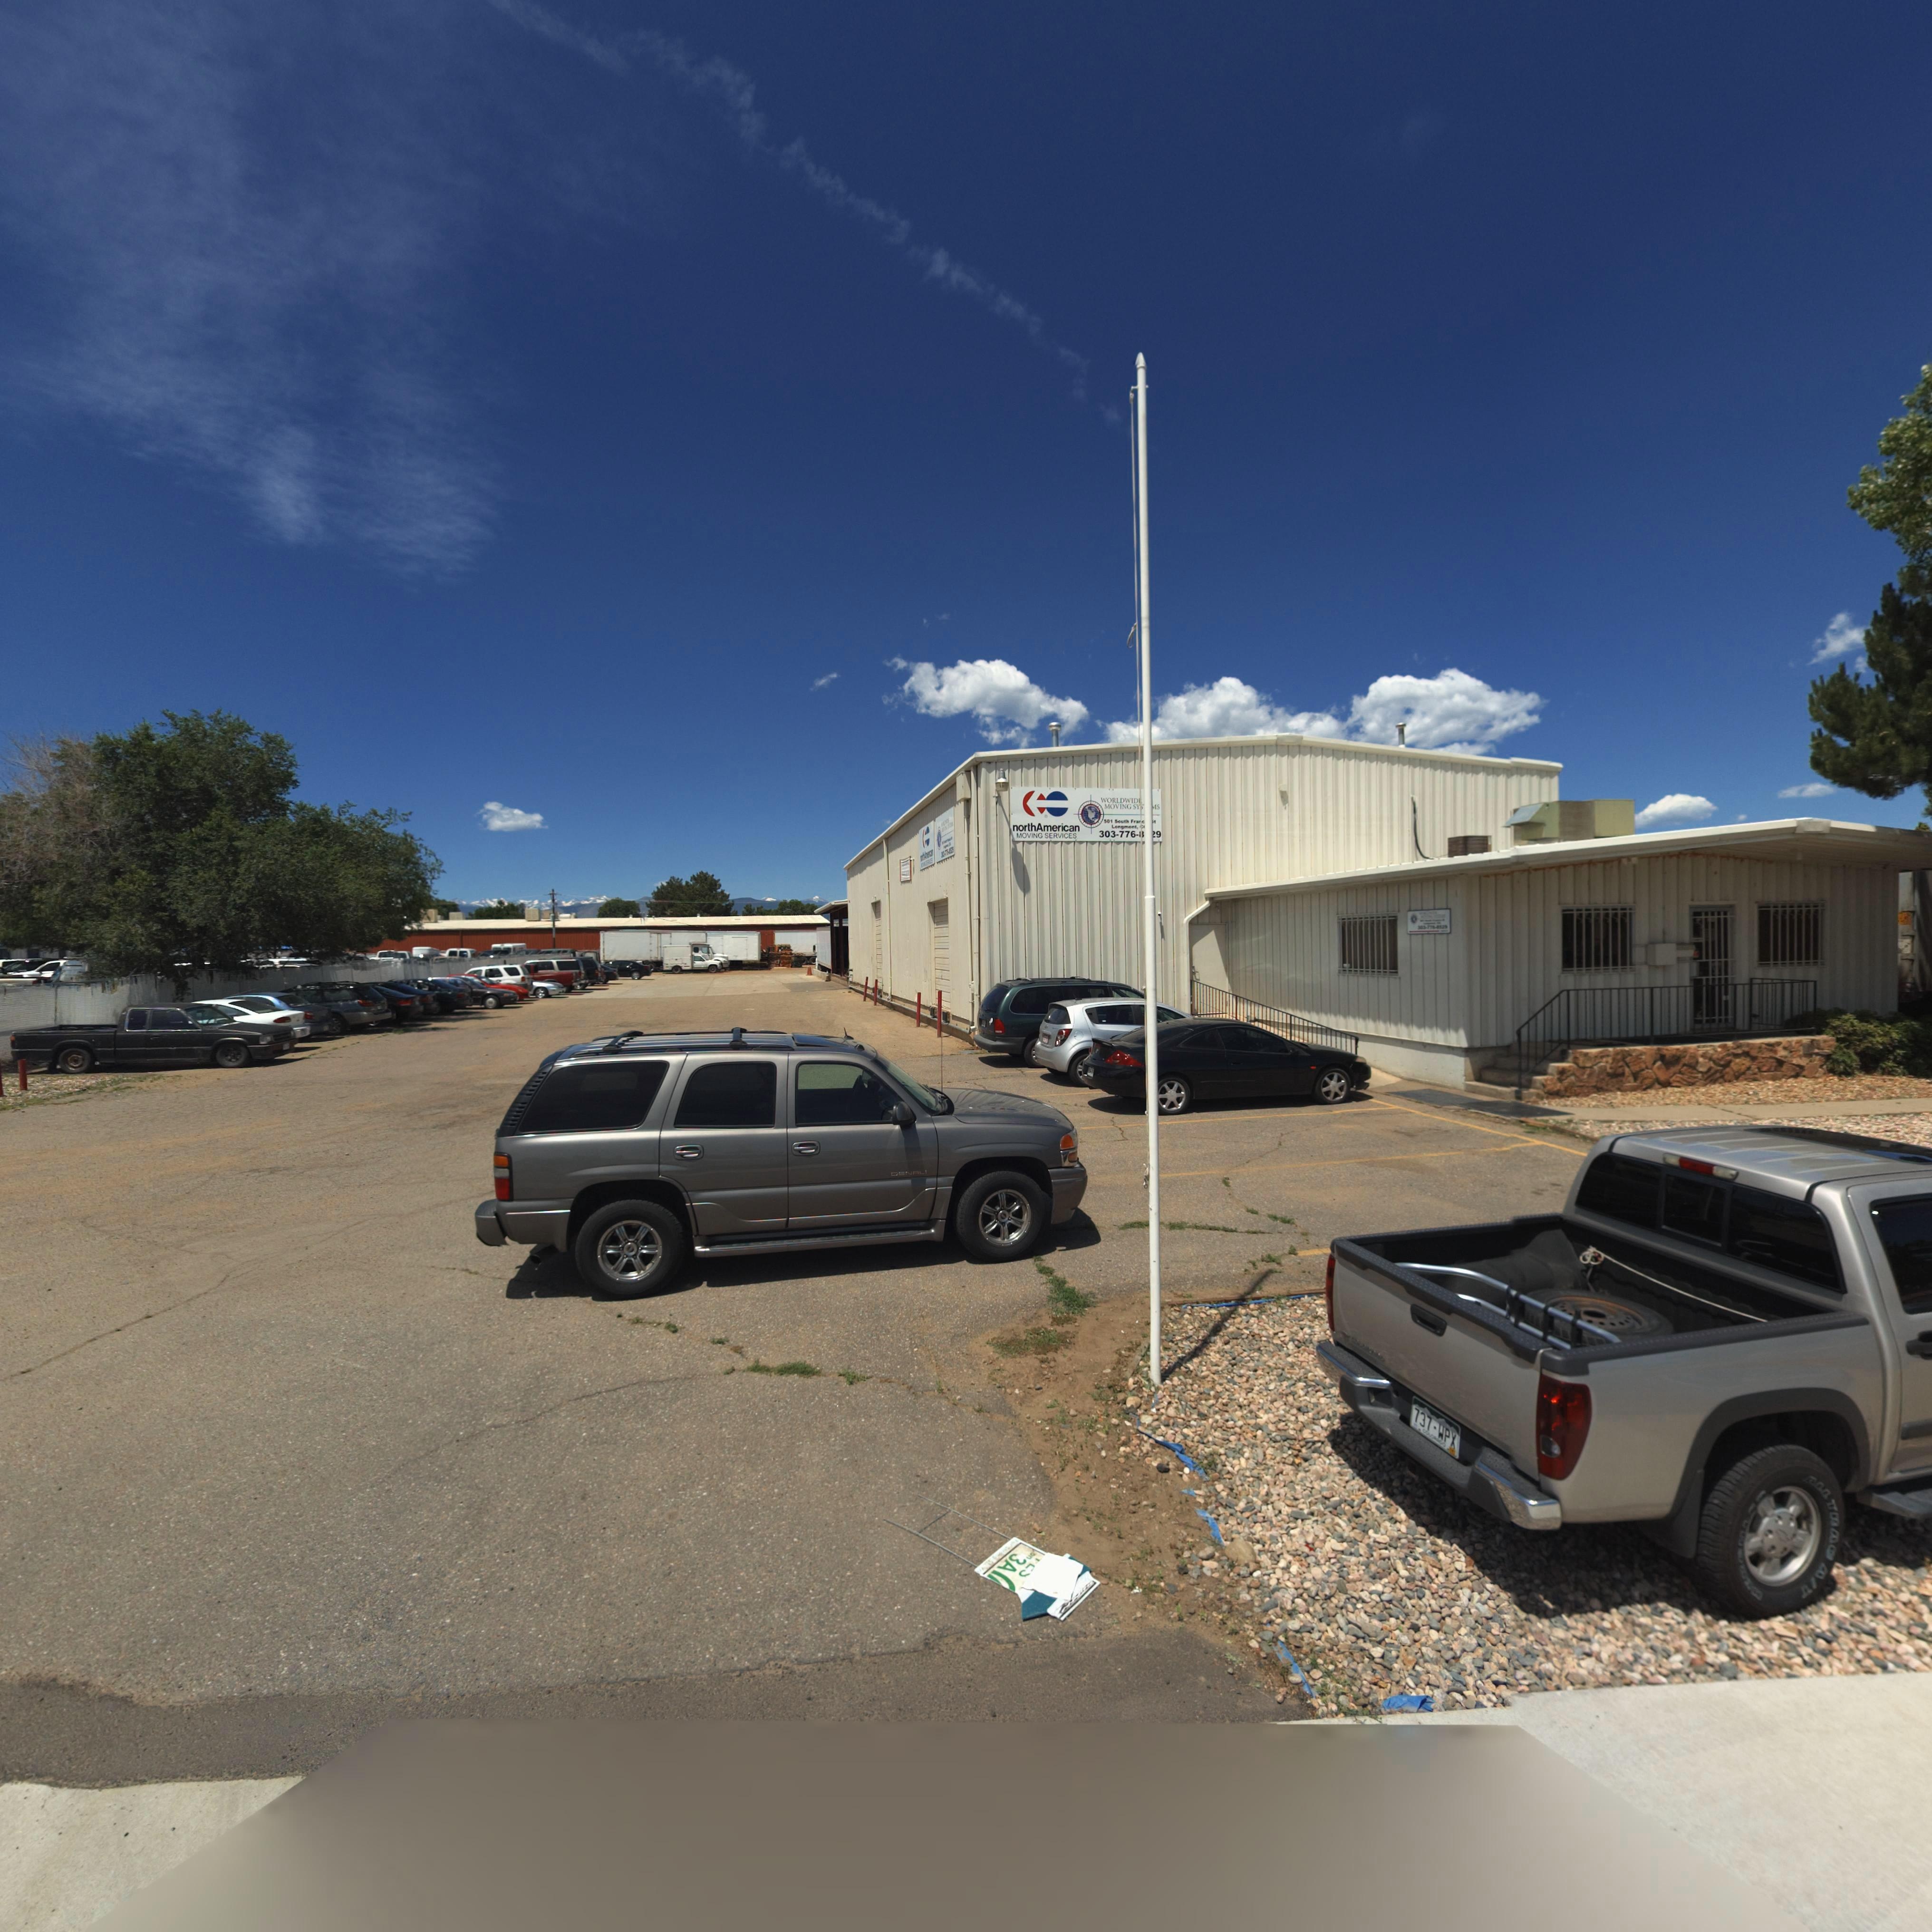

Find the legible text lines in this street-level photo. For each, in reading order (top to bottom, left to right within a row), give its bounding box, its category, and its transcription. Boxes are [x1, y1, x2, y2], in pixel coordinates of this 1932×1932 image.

[1100, 797, 1142, 803] BusinessName: WORLDWIDE
[1104, 803, 1160, 810] BusinessName: MOVING SYS***S
[1103, 819, 1112, 823] StreetNumber: 501
[1114, 819, 1156, 824] StreetName: Sout Franc*** *t
[1012, 822, 1080, 832] BusinessName: northAmerican
[1016, 832, 1077, 839] BusinessName: MOVING SYSTEMS